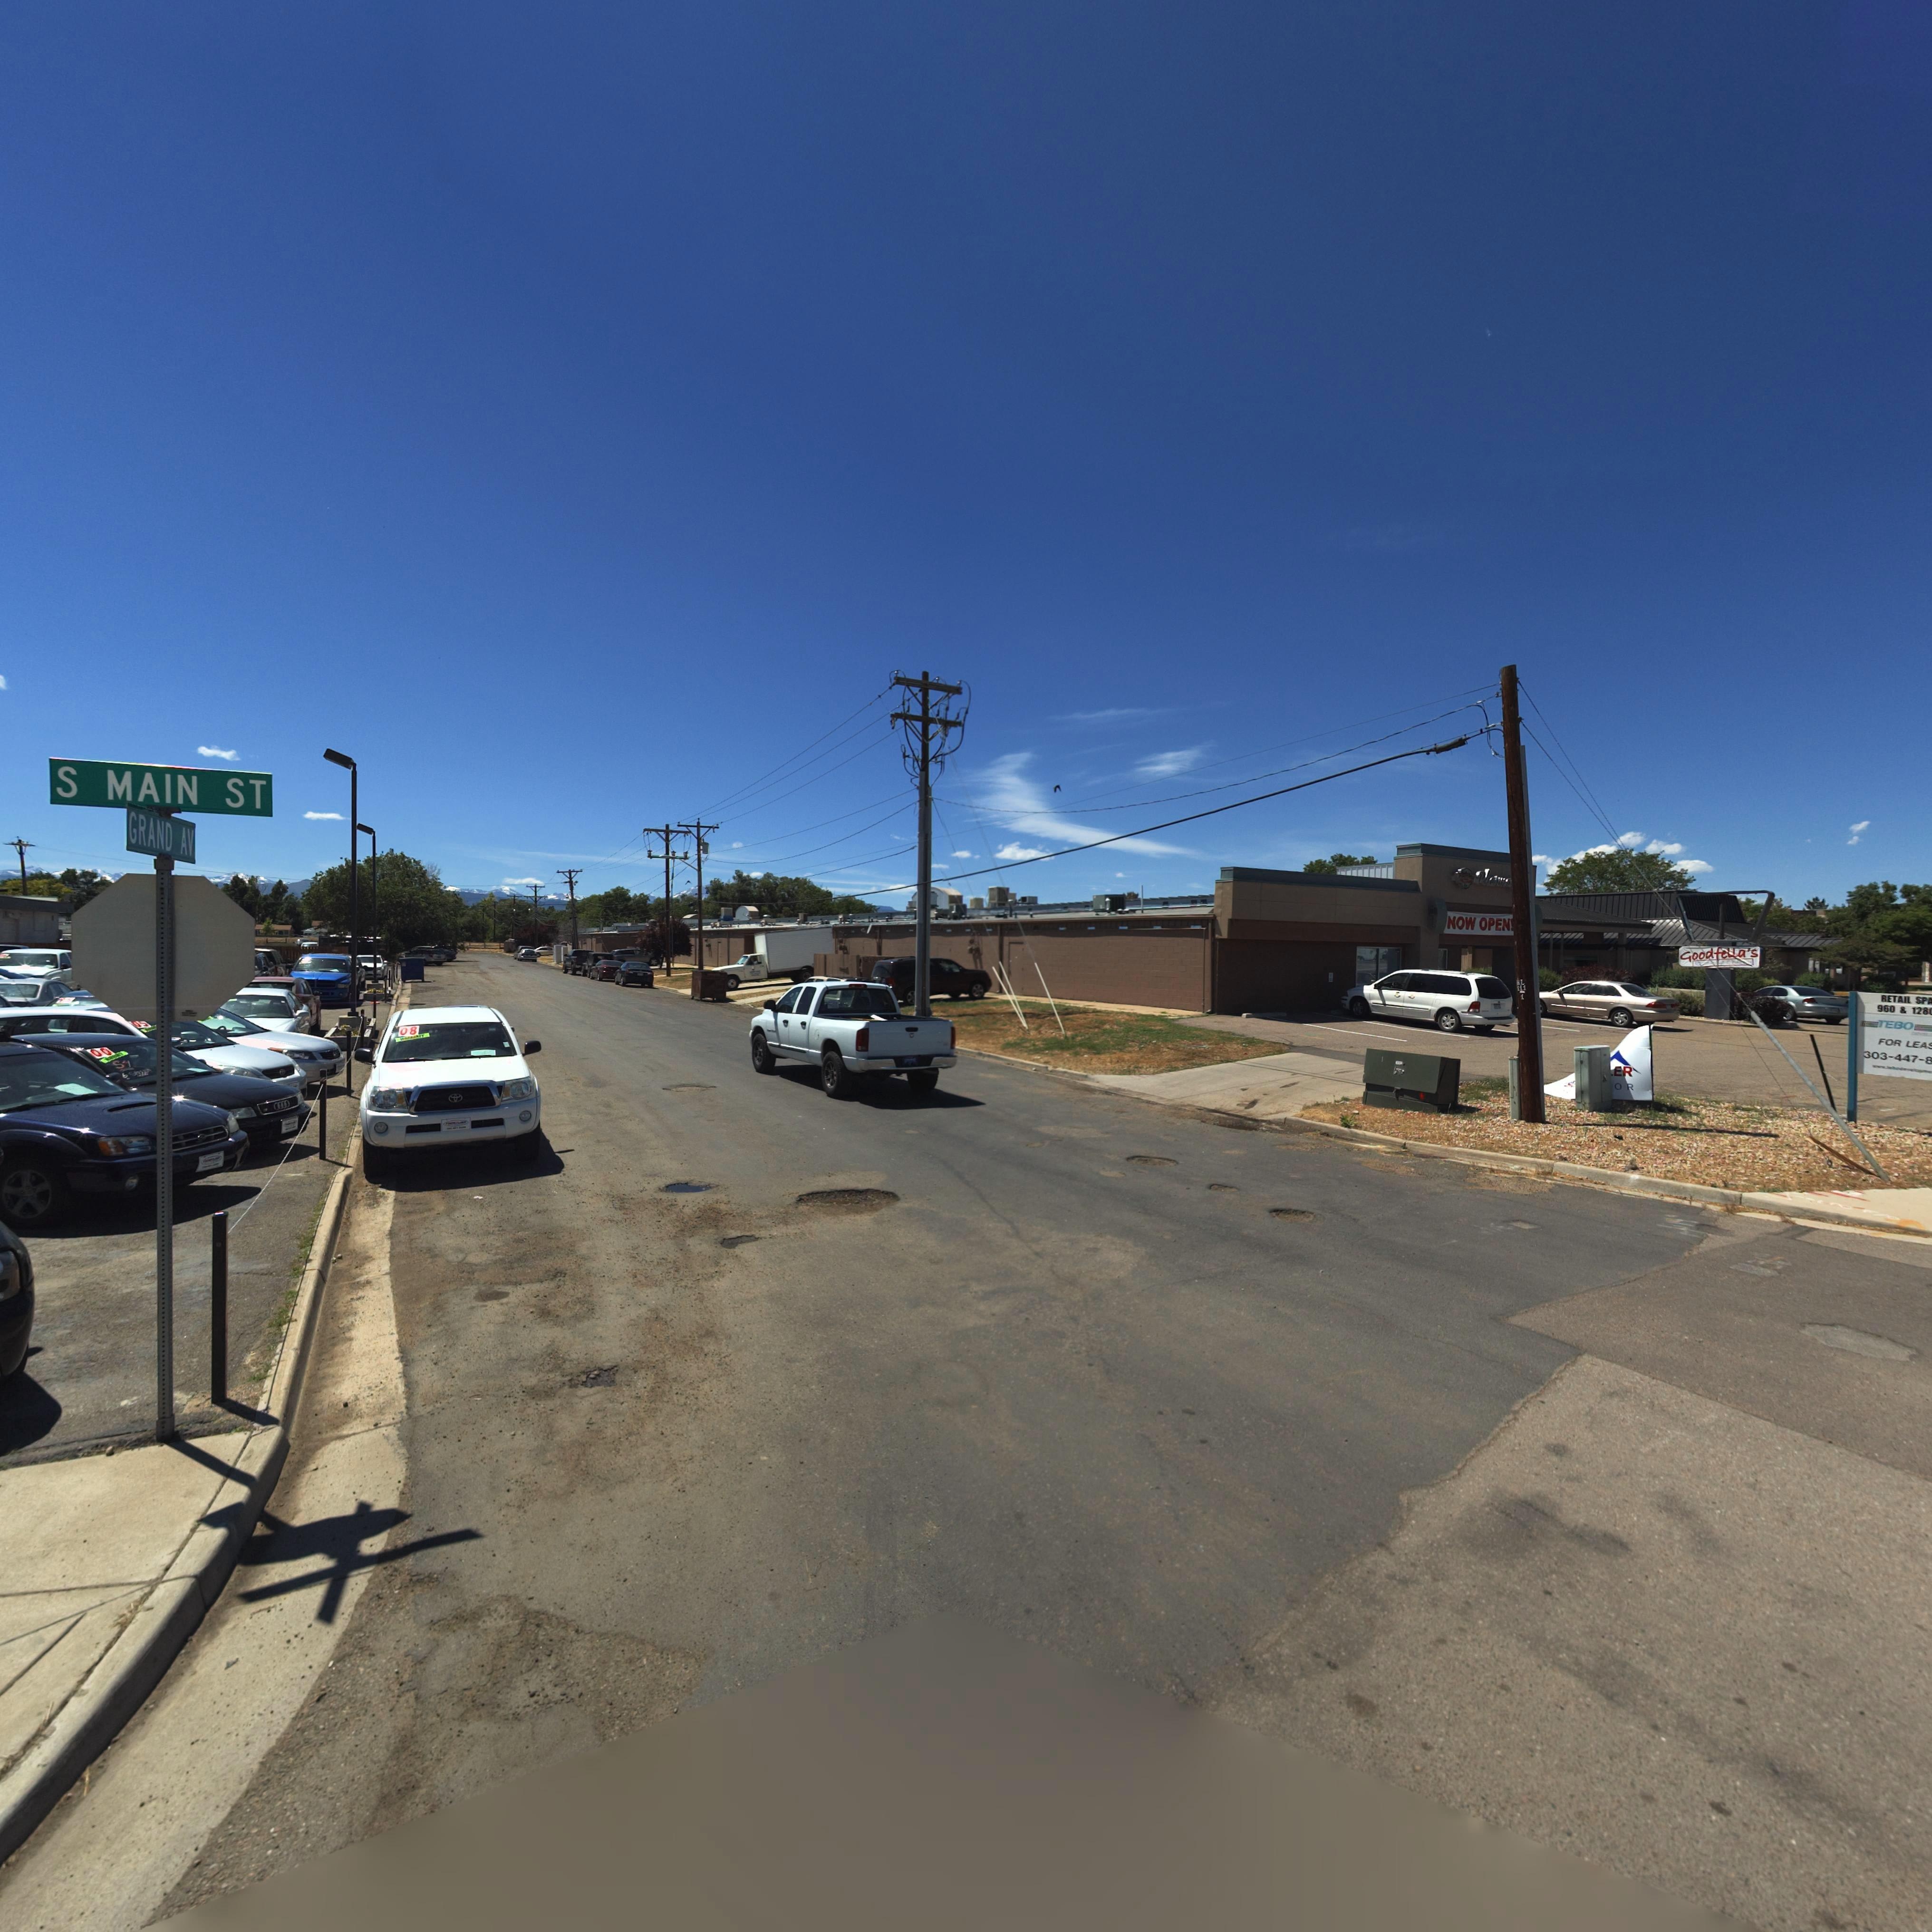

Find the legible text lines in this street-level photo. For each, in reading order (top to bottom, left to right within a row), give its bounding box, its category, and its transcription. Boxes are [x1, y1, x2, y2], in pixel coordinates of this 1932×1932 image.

[54, 764, 268, 810] StreetName: S MAIN ST
[127, 811, 195, 856] StreetName: GRAND AV
[1679, 946, 1759, 963] BusinessName: Goodfella's